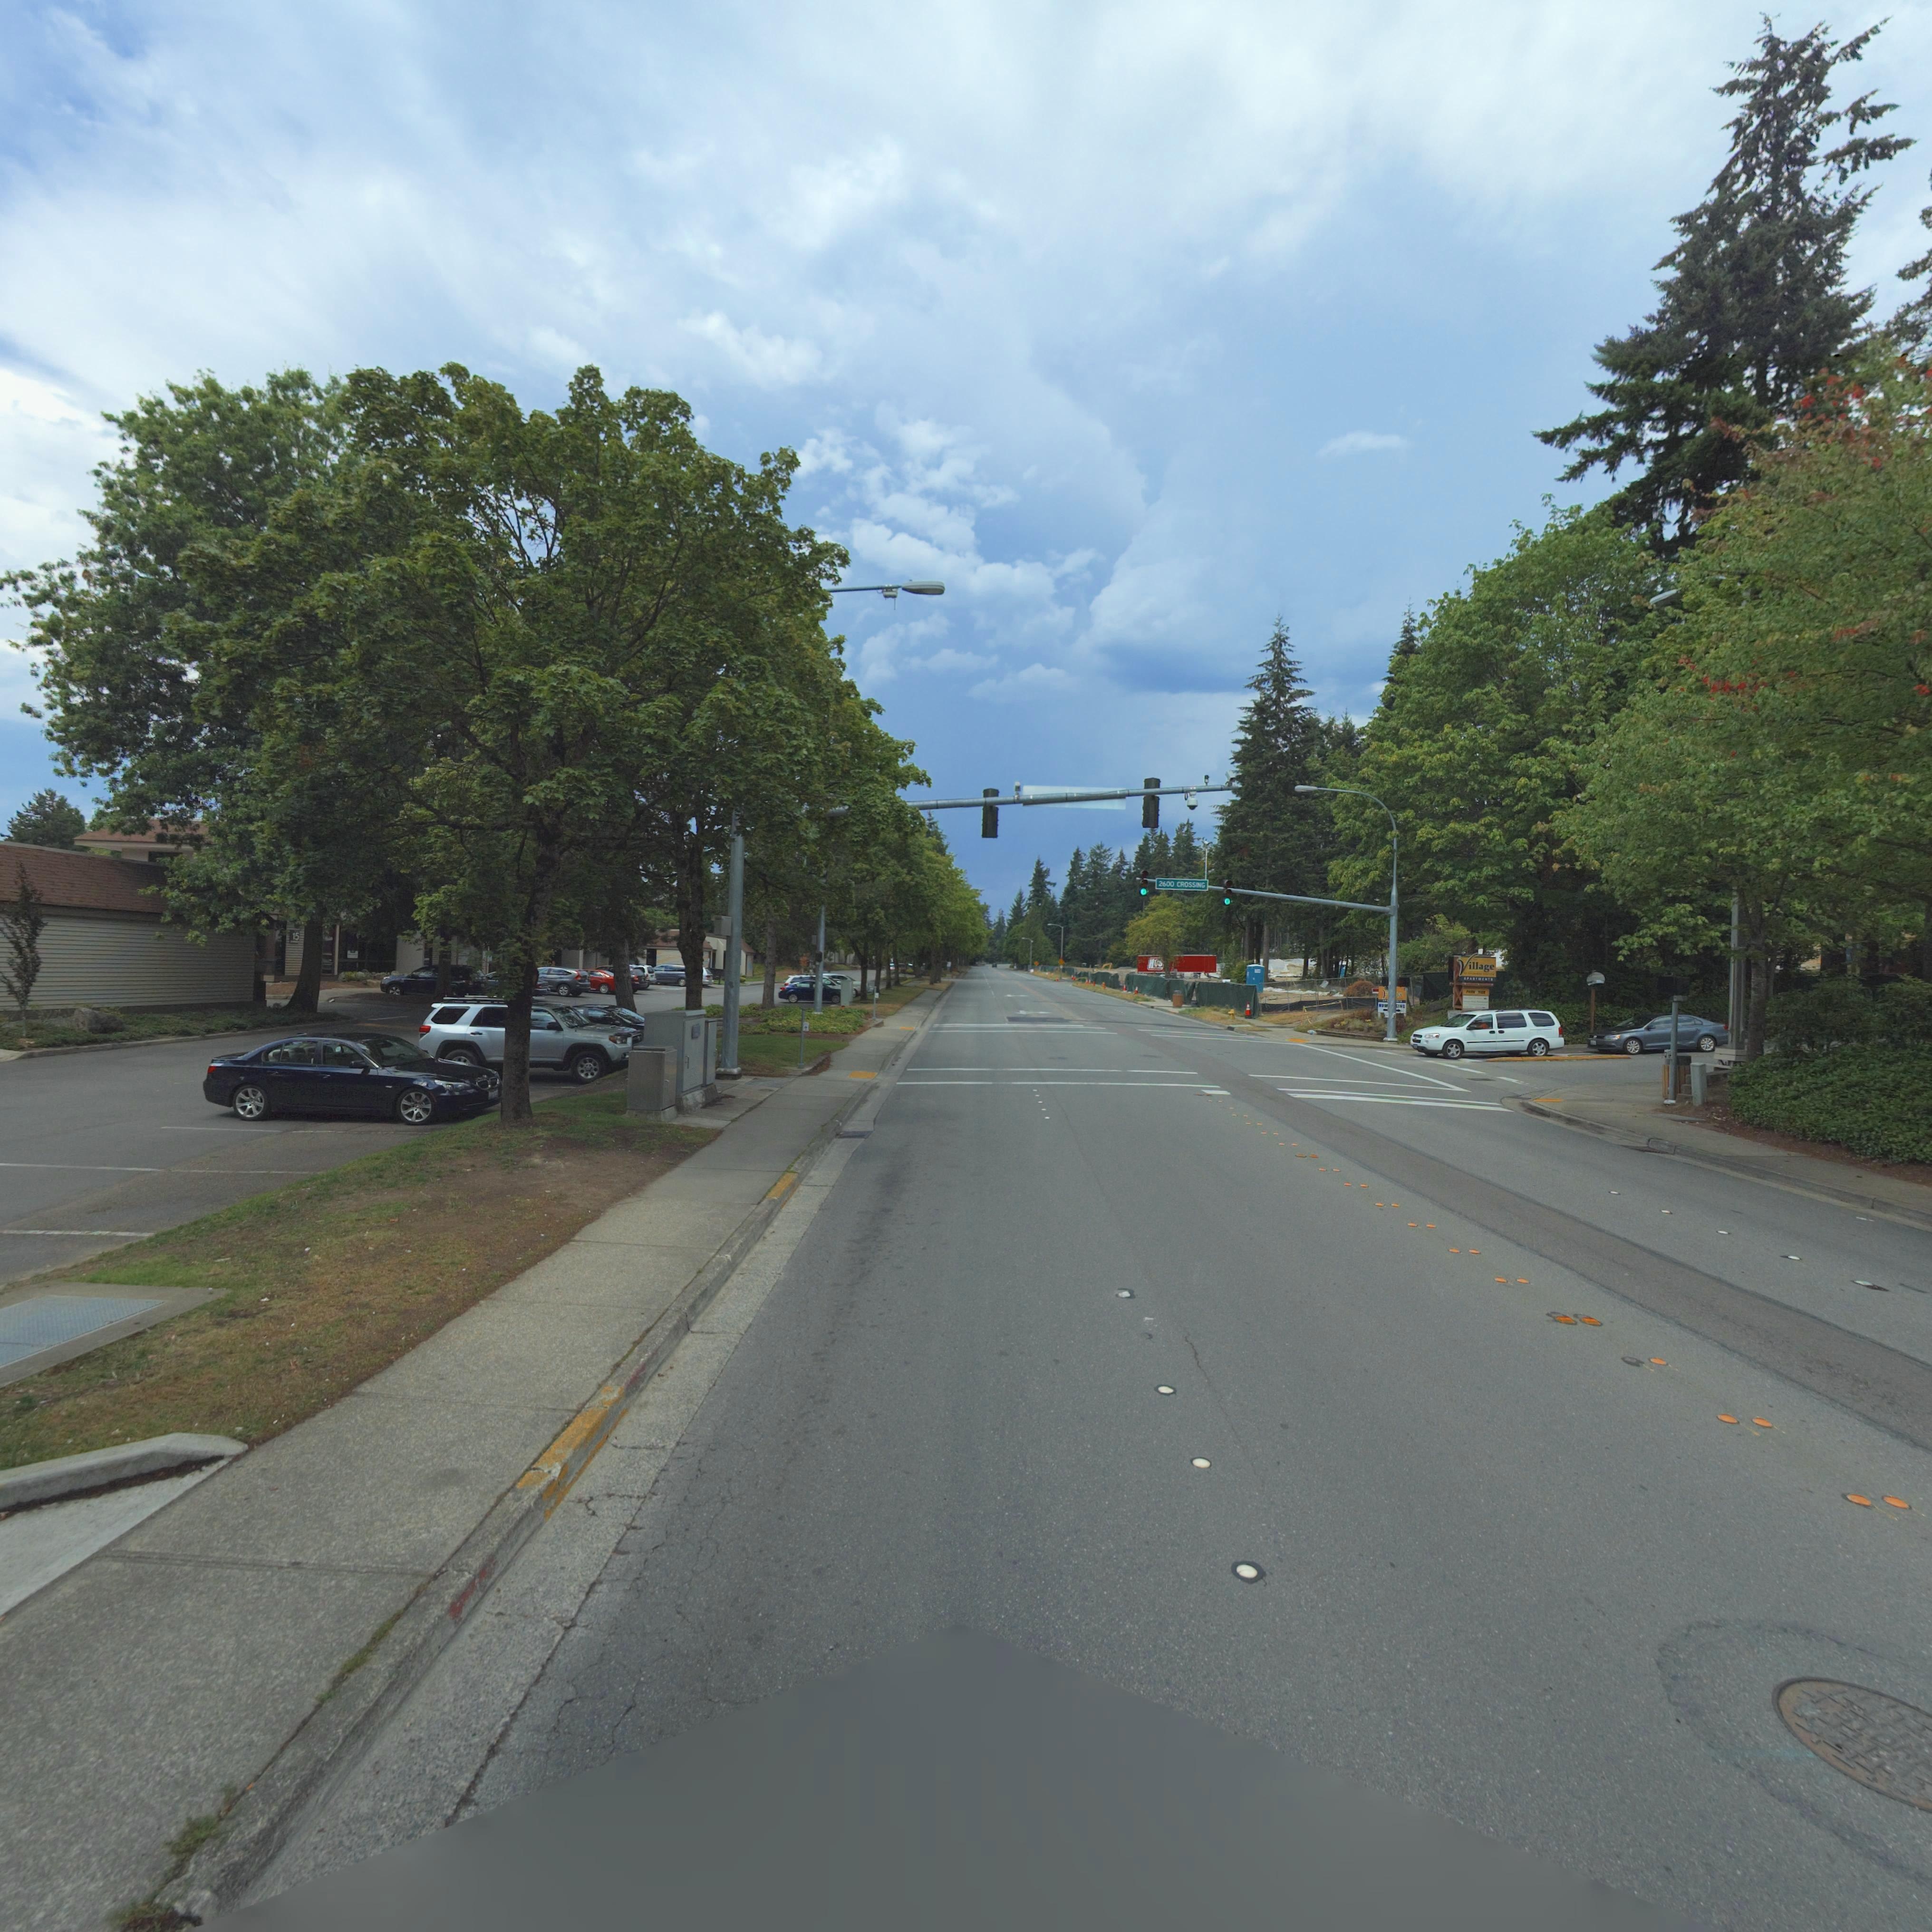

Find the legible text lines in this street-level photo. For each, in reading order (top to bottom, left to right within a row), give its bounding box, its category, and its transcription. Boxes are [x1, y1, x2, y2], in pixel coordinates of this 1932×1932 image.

[1158, 879, 1206, 889] StreetNumber: 2600 CROSSING